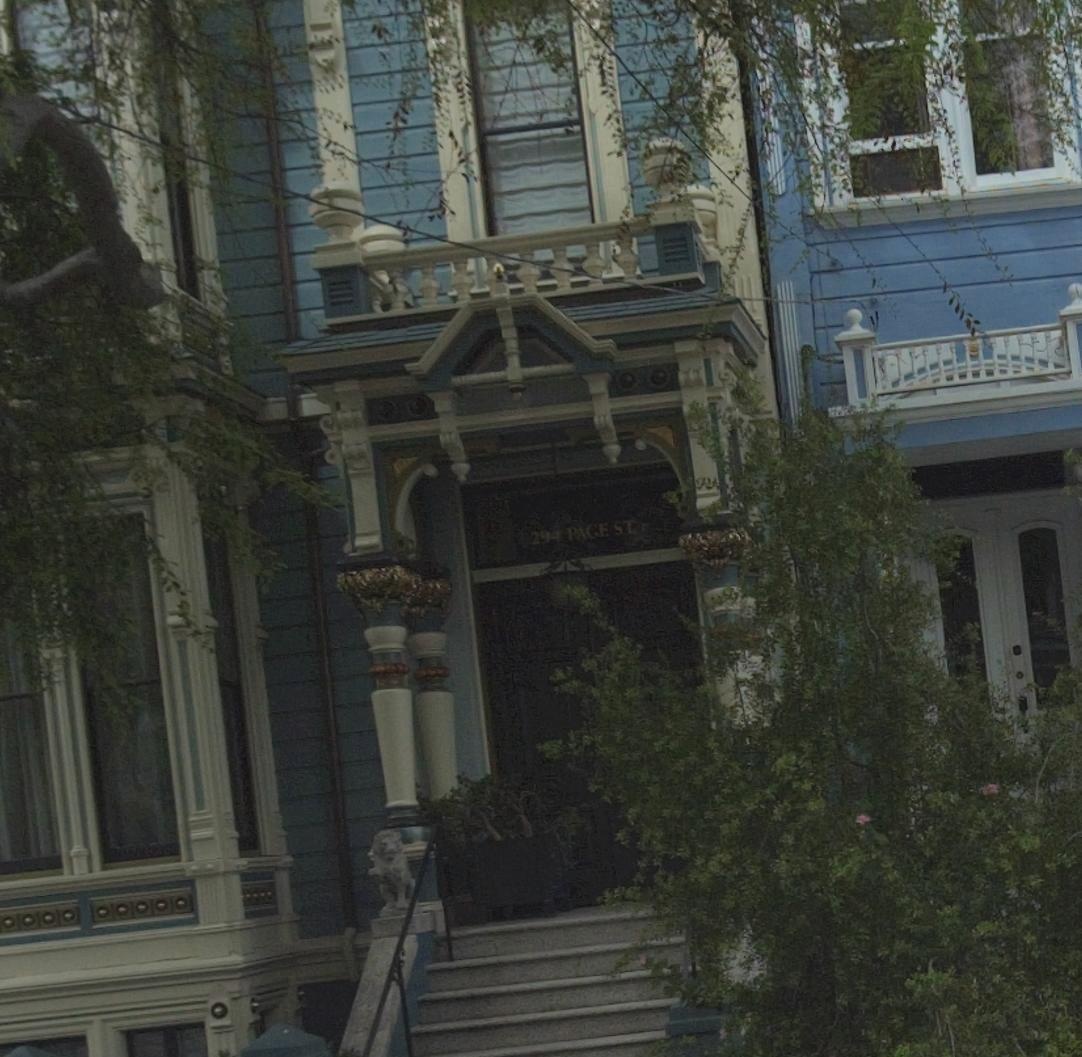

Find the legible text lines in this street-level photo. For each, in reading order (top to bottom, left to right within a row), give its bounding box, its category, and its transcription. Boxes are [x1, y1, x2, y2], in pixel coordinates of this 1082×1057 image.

[529, 527, 561, 548] StreetNumber: 294
[566, 518, 639, 542] StreetName: PAGE ST.